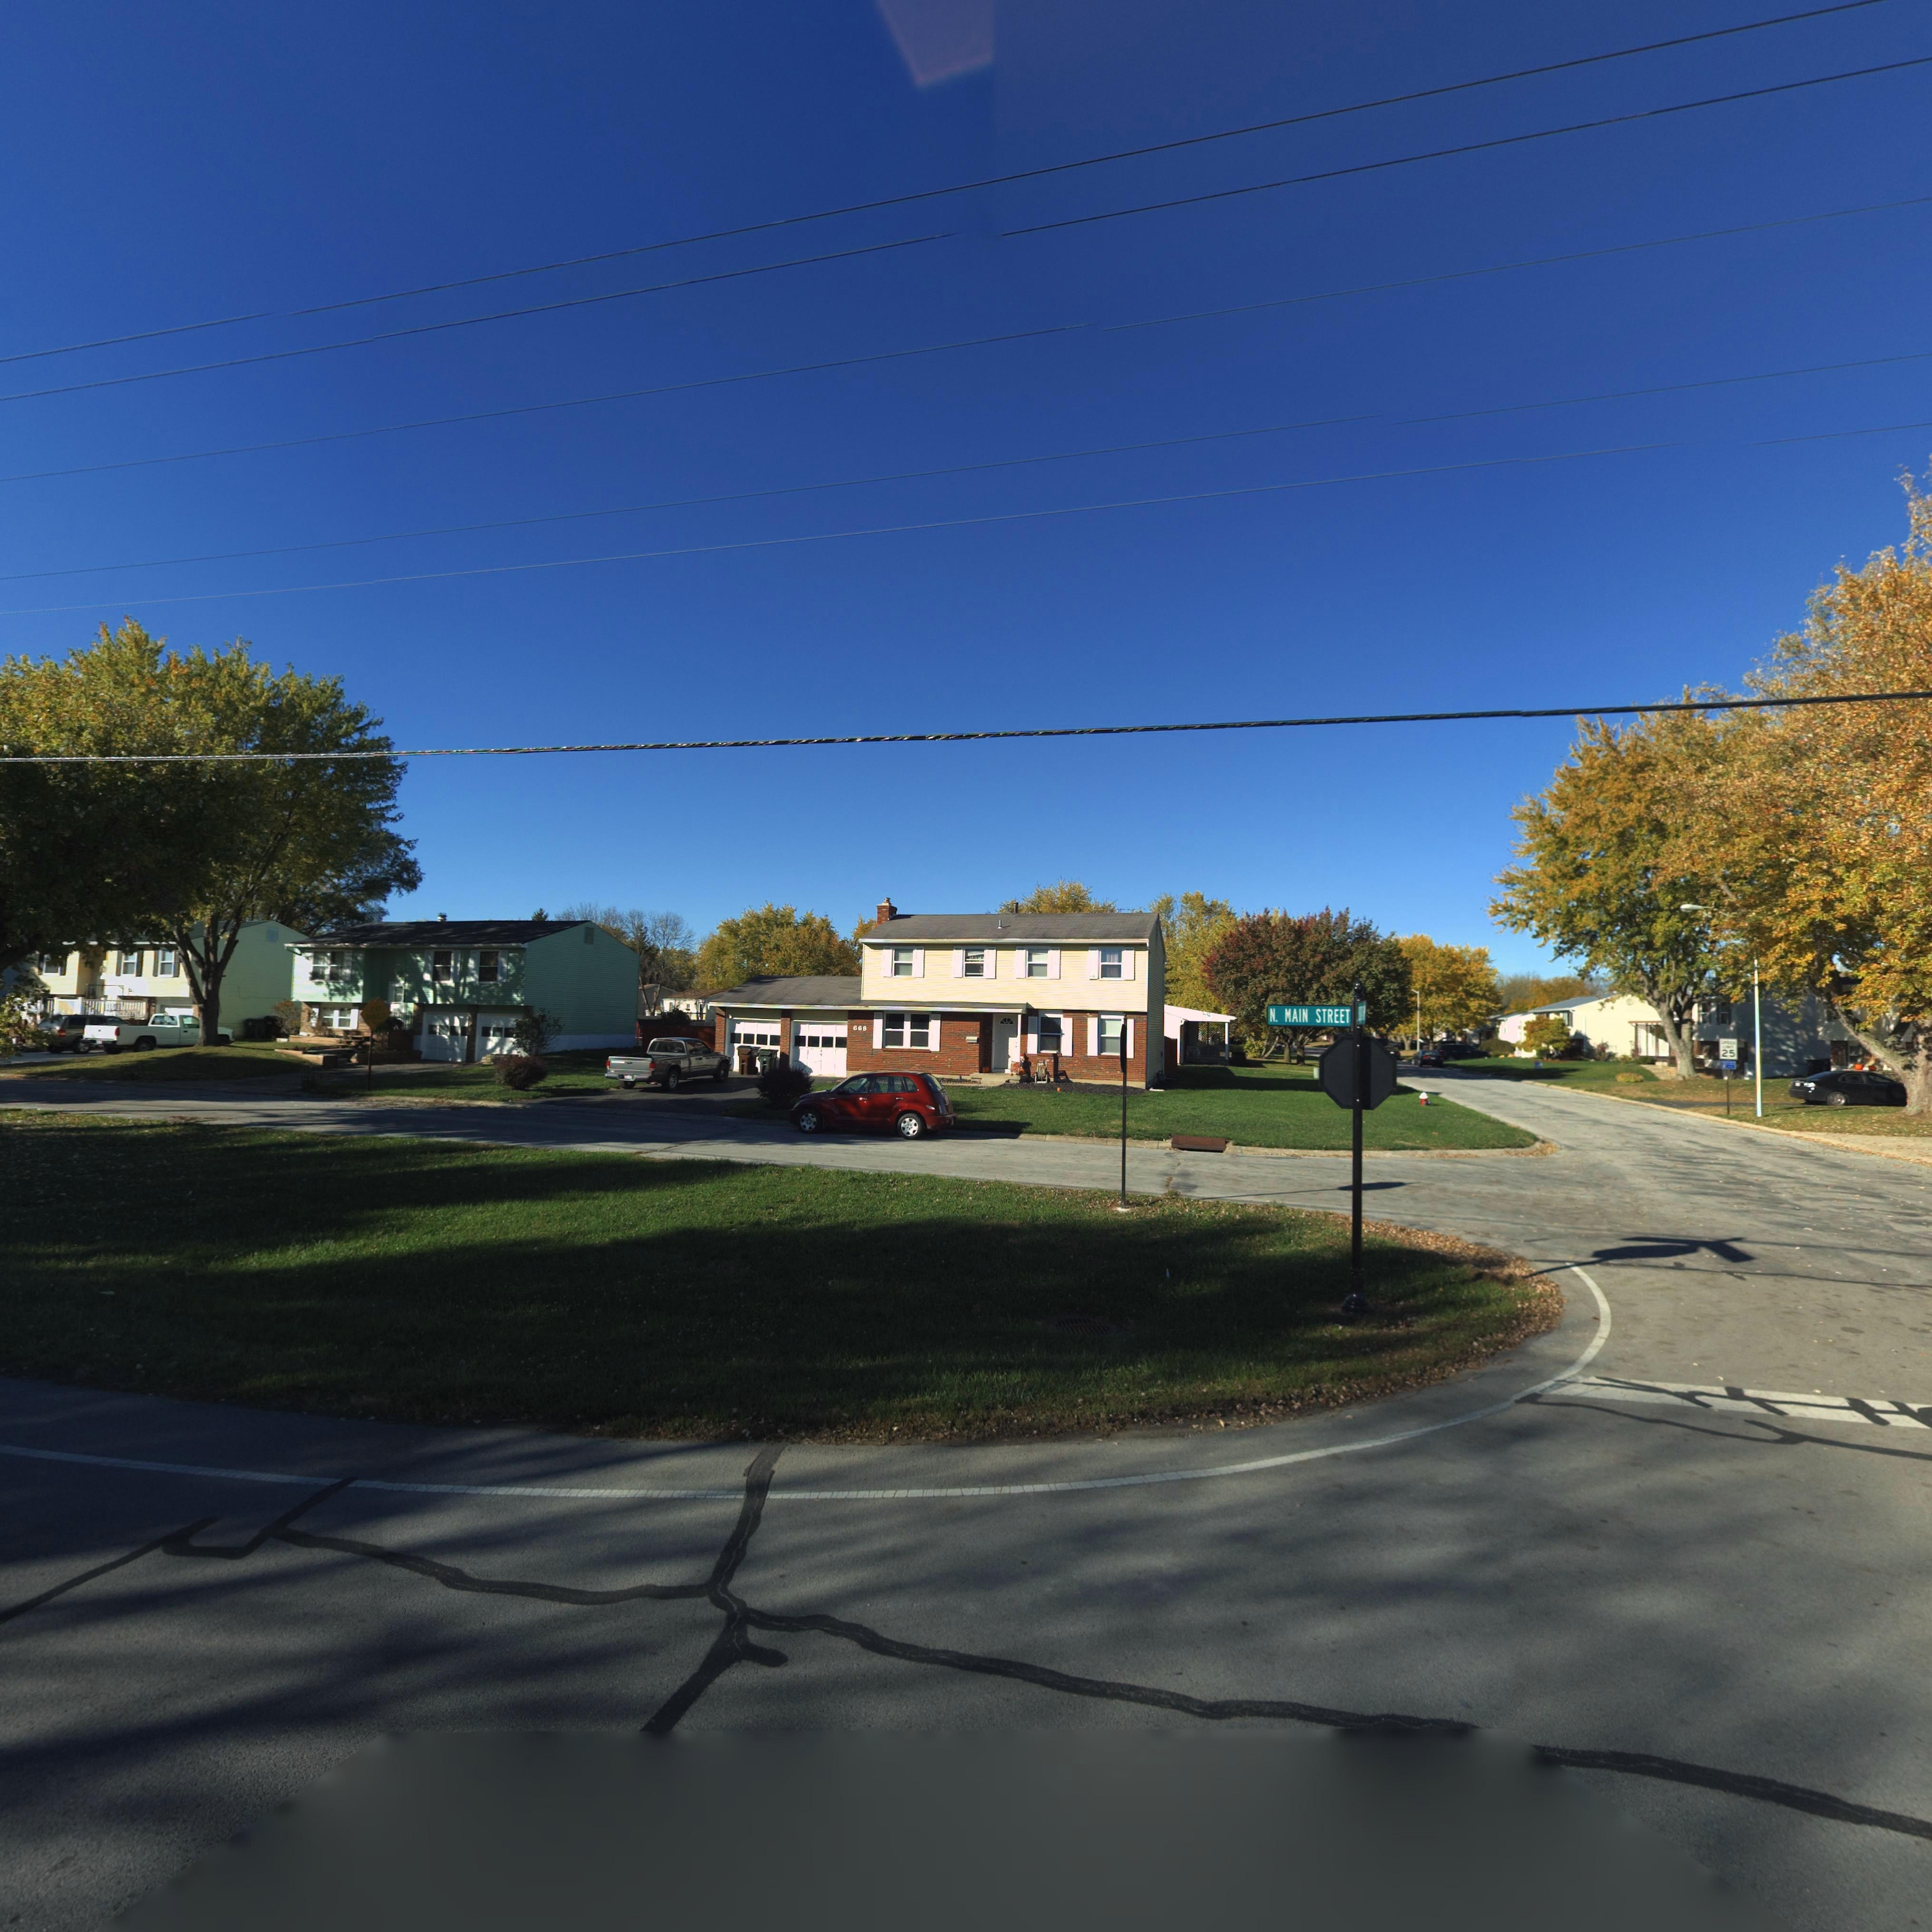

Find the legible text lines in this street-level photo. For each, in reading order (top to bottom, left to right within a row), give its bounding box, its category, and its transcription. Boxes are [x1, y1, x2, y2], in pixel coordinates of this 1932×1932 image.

[1268, 1006, 1351, 1024] None: N. MAIN STREET
[852, 1024, 868, 1032] StreetNumber: 668
[1721, 1049, 1735, 1058] None: 25